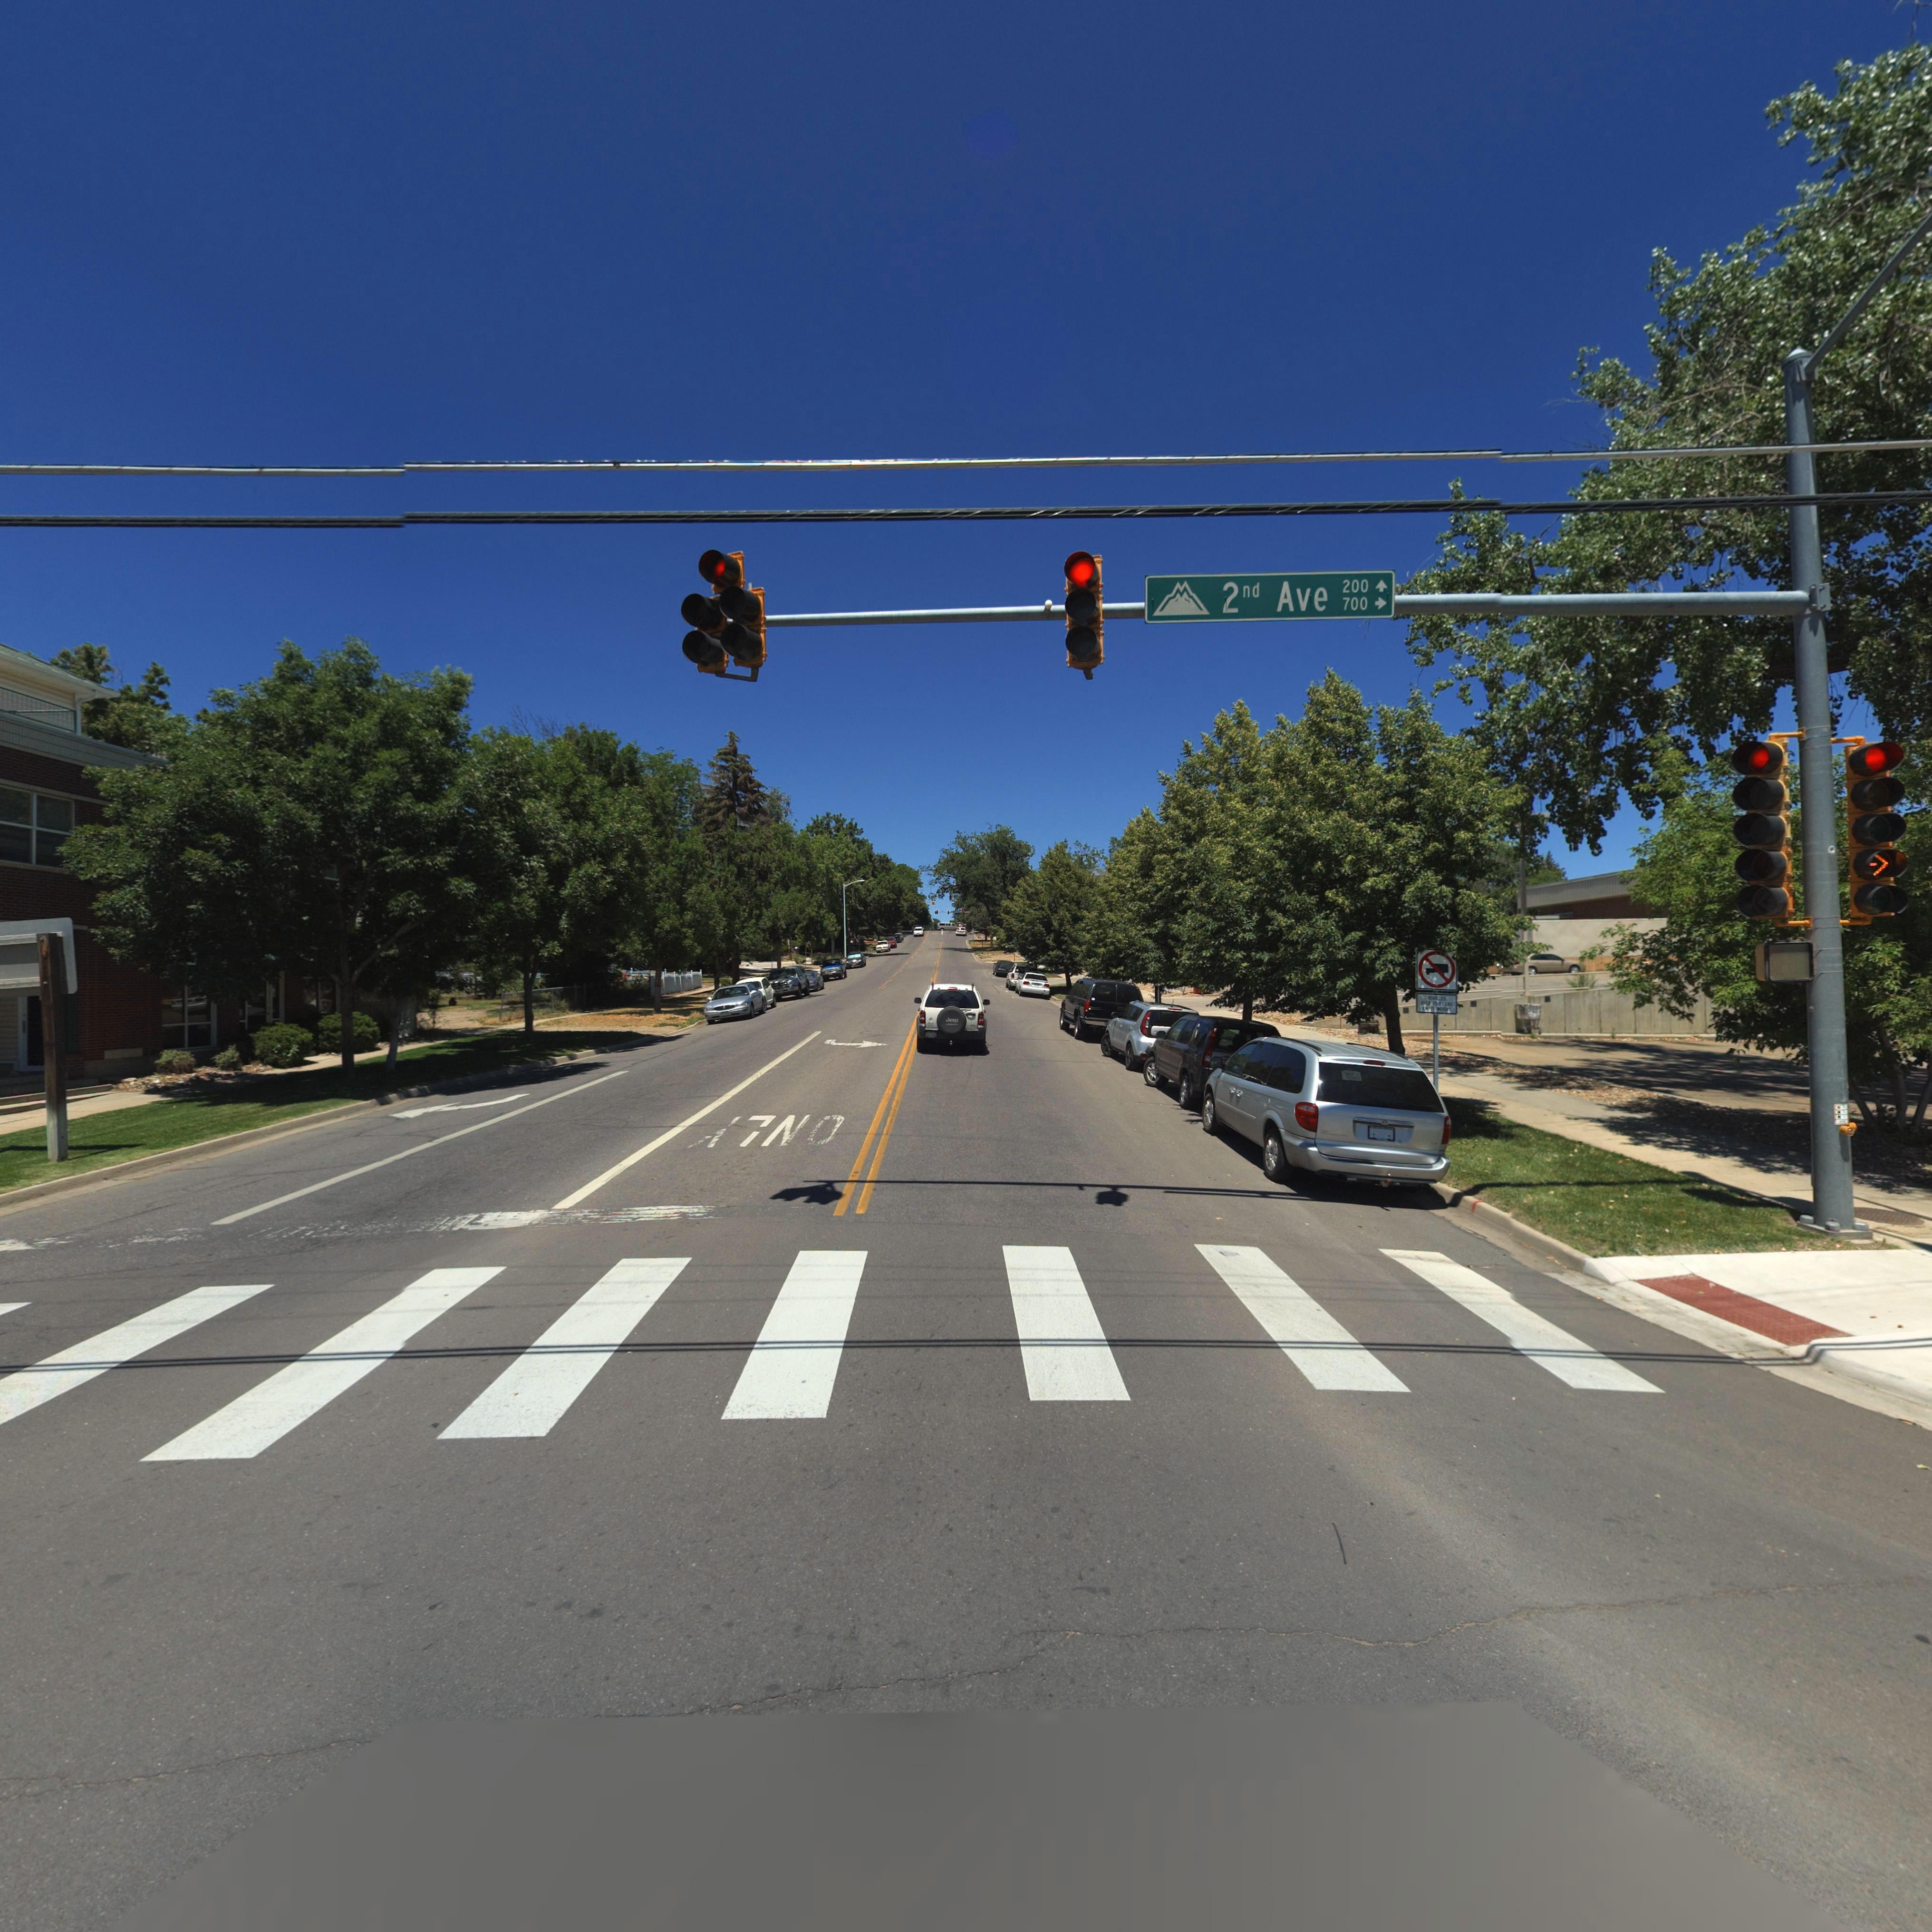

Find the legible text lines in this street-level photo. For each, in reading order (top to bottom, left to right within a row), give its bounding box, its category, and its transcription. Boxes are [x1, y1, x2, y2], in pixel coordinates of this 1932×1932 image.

[1342, 578, 1369, 593] StreetNumberRange: 200
[1222, 580, 1328, 613] StreetName: 2nd Ave
[1342, 596, 1388, 610] StreetNumberRange: 700->